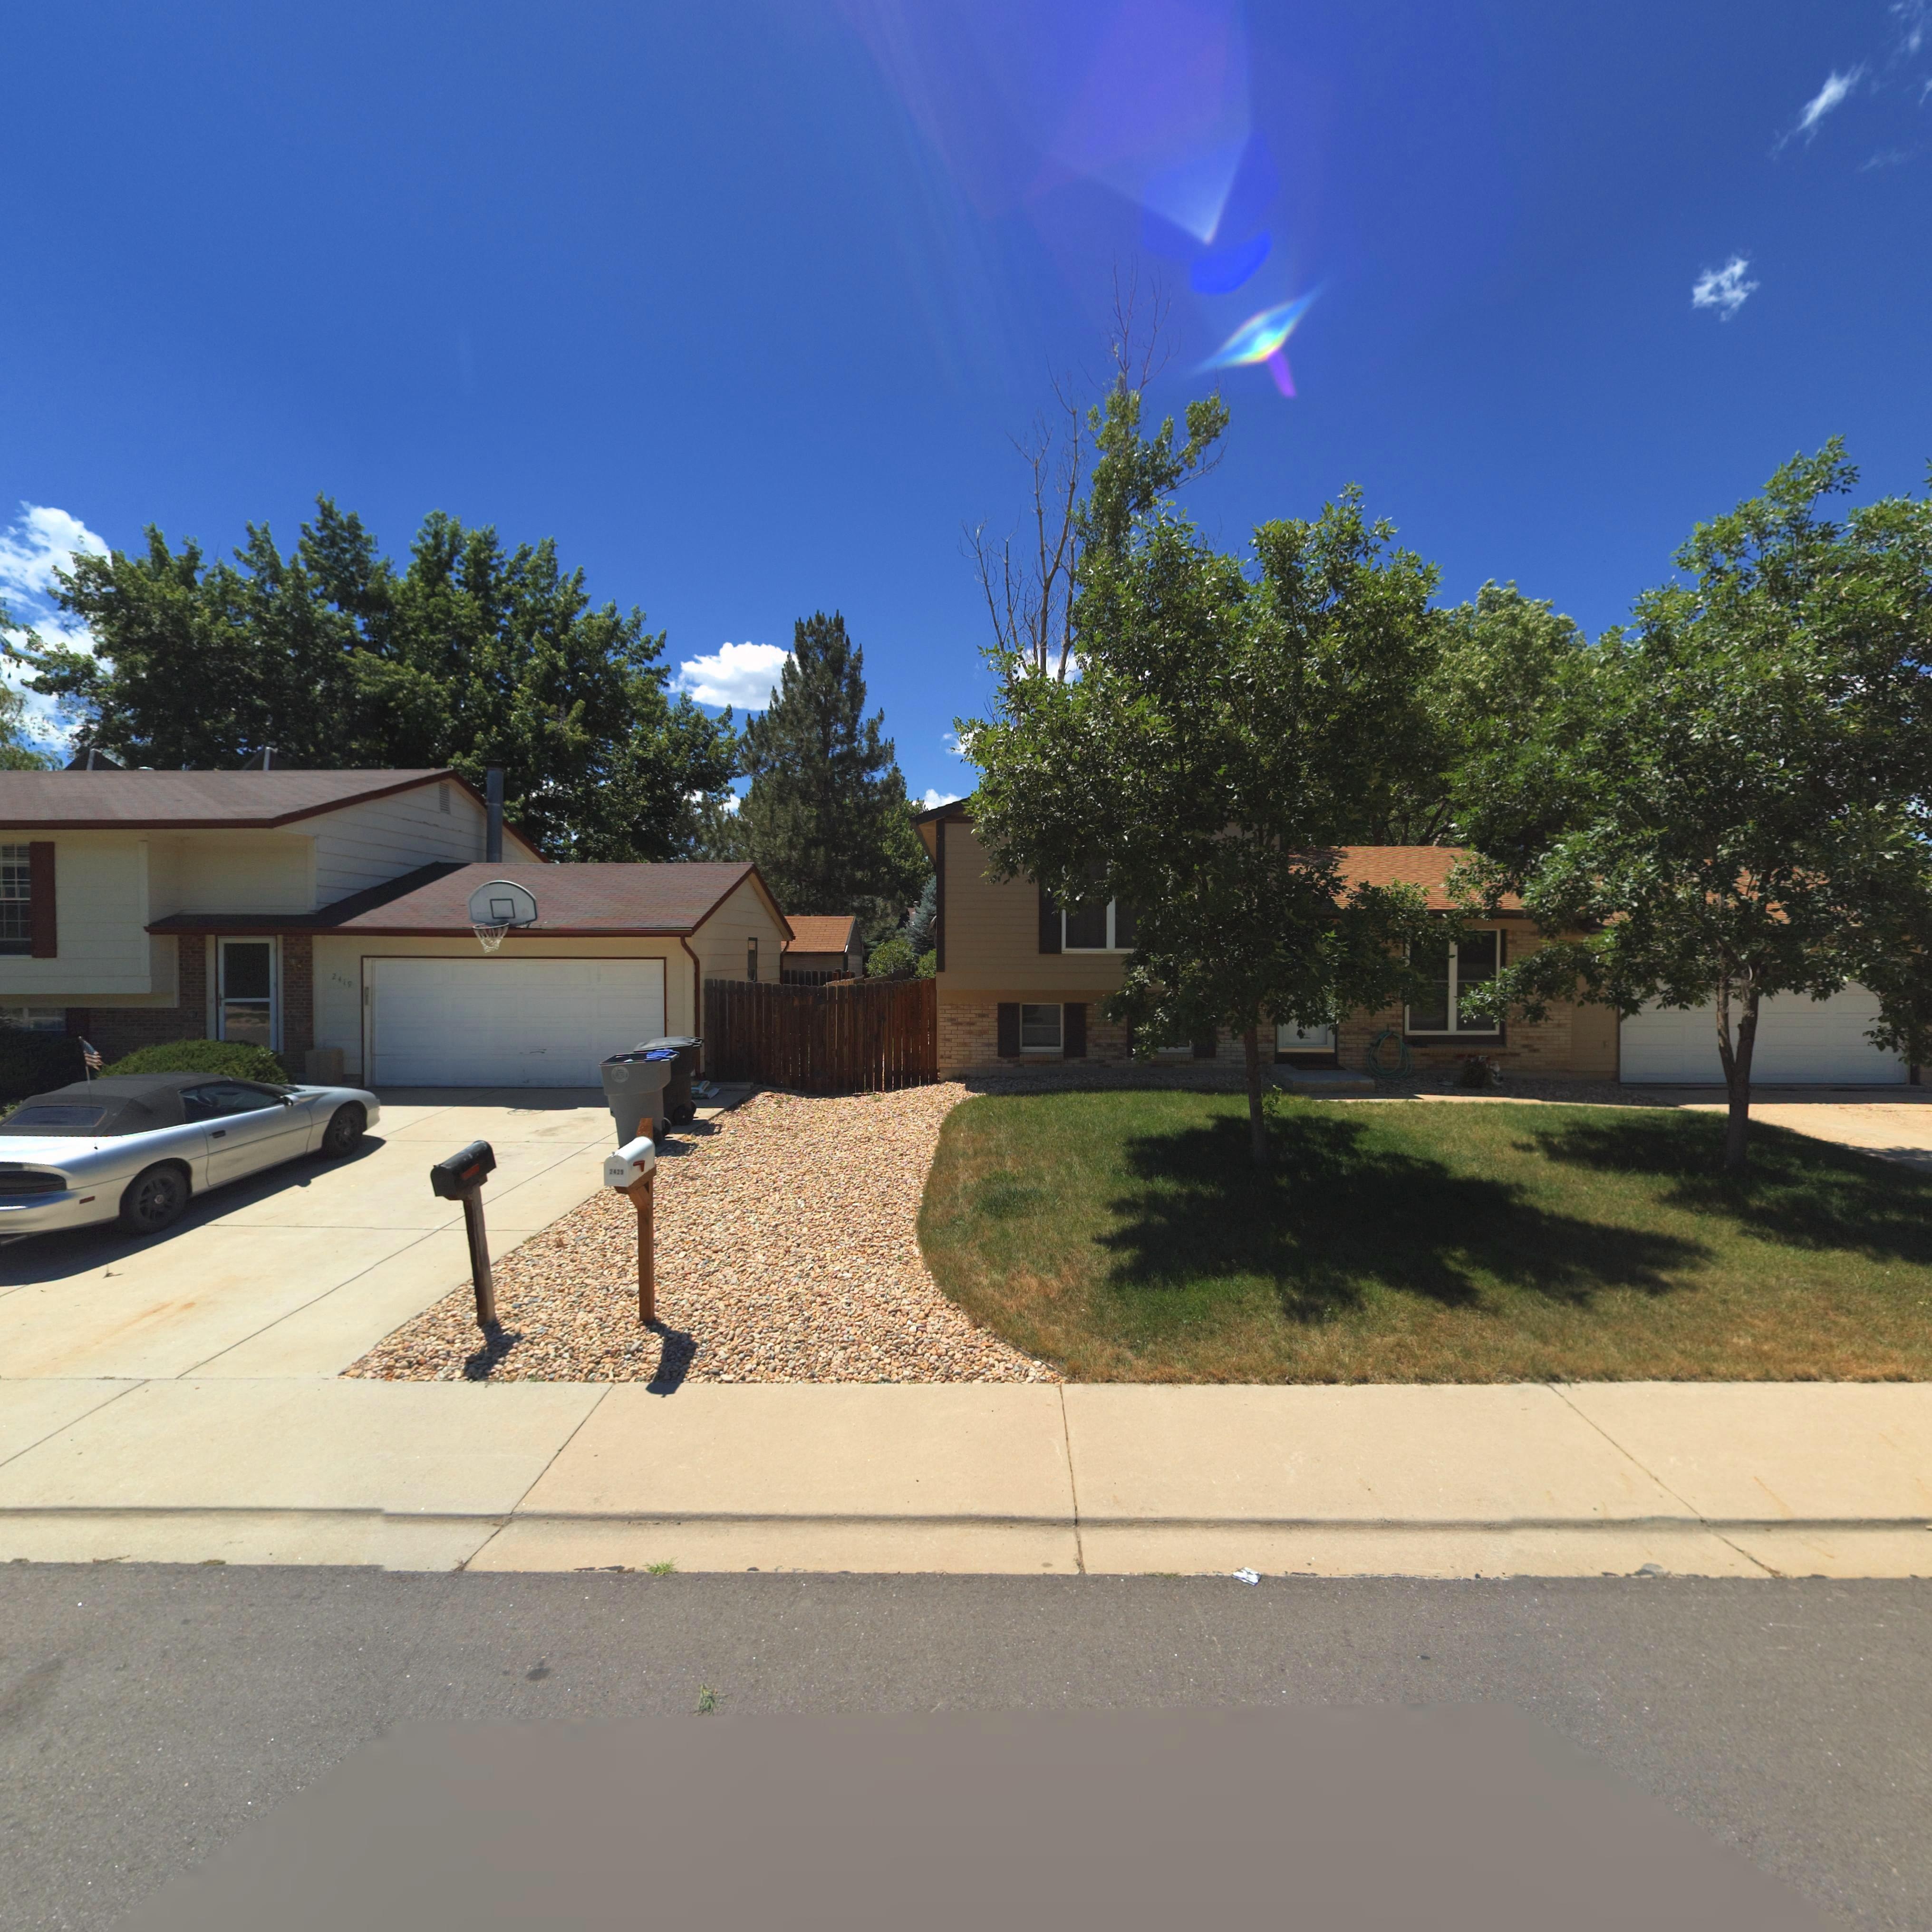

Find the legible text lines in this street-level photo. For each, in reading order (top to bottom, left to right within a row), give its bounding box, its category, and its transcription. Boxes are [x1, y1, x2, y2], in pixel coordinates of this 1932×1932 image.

[332, 973, 352, 988] StreetNumber: 2419
[609, 1169, 624, 1175] StreetNumber: 2429